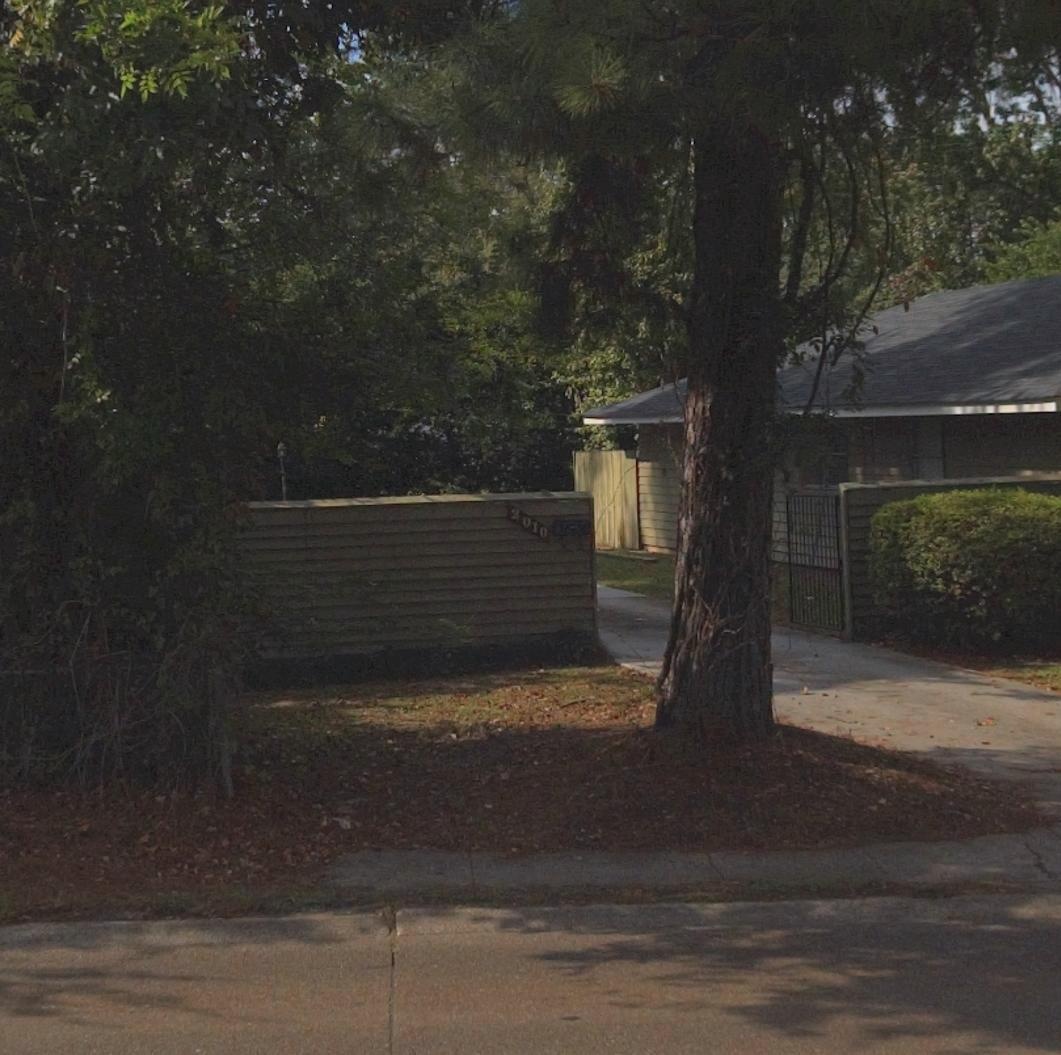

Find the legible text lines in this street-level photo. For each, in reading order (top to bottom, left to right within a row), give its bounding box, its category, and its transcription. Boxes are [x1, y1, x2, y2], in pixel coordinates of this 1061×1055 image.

[508, 503, 549, 544] StreetNumber: 2010